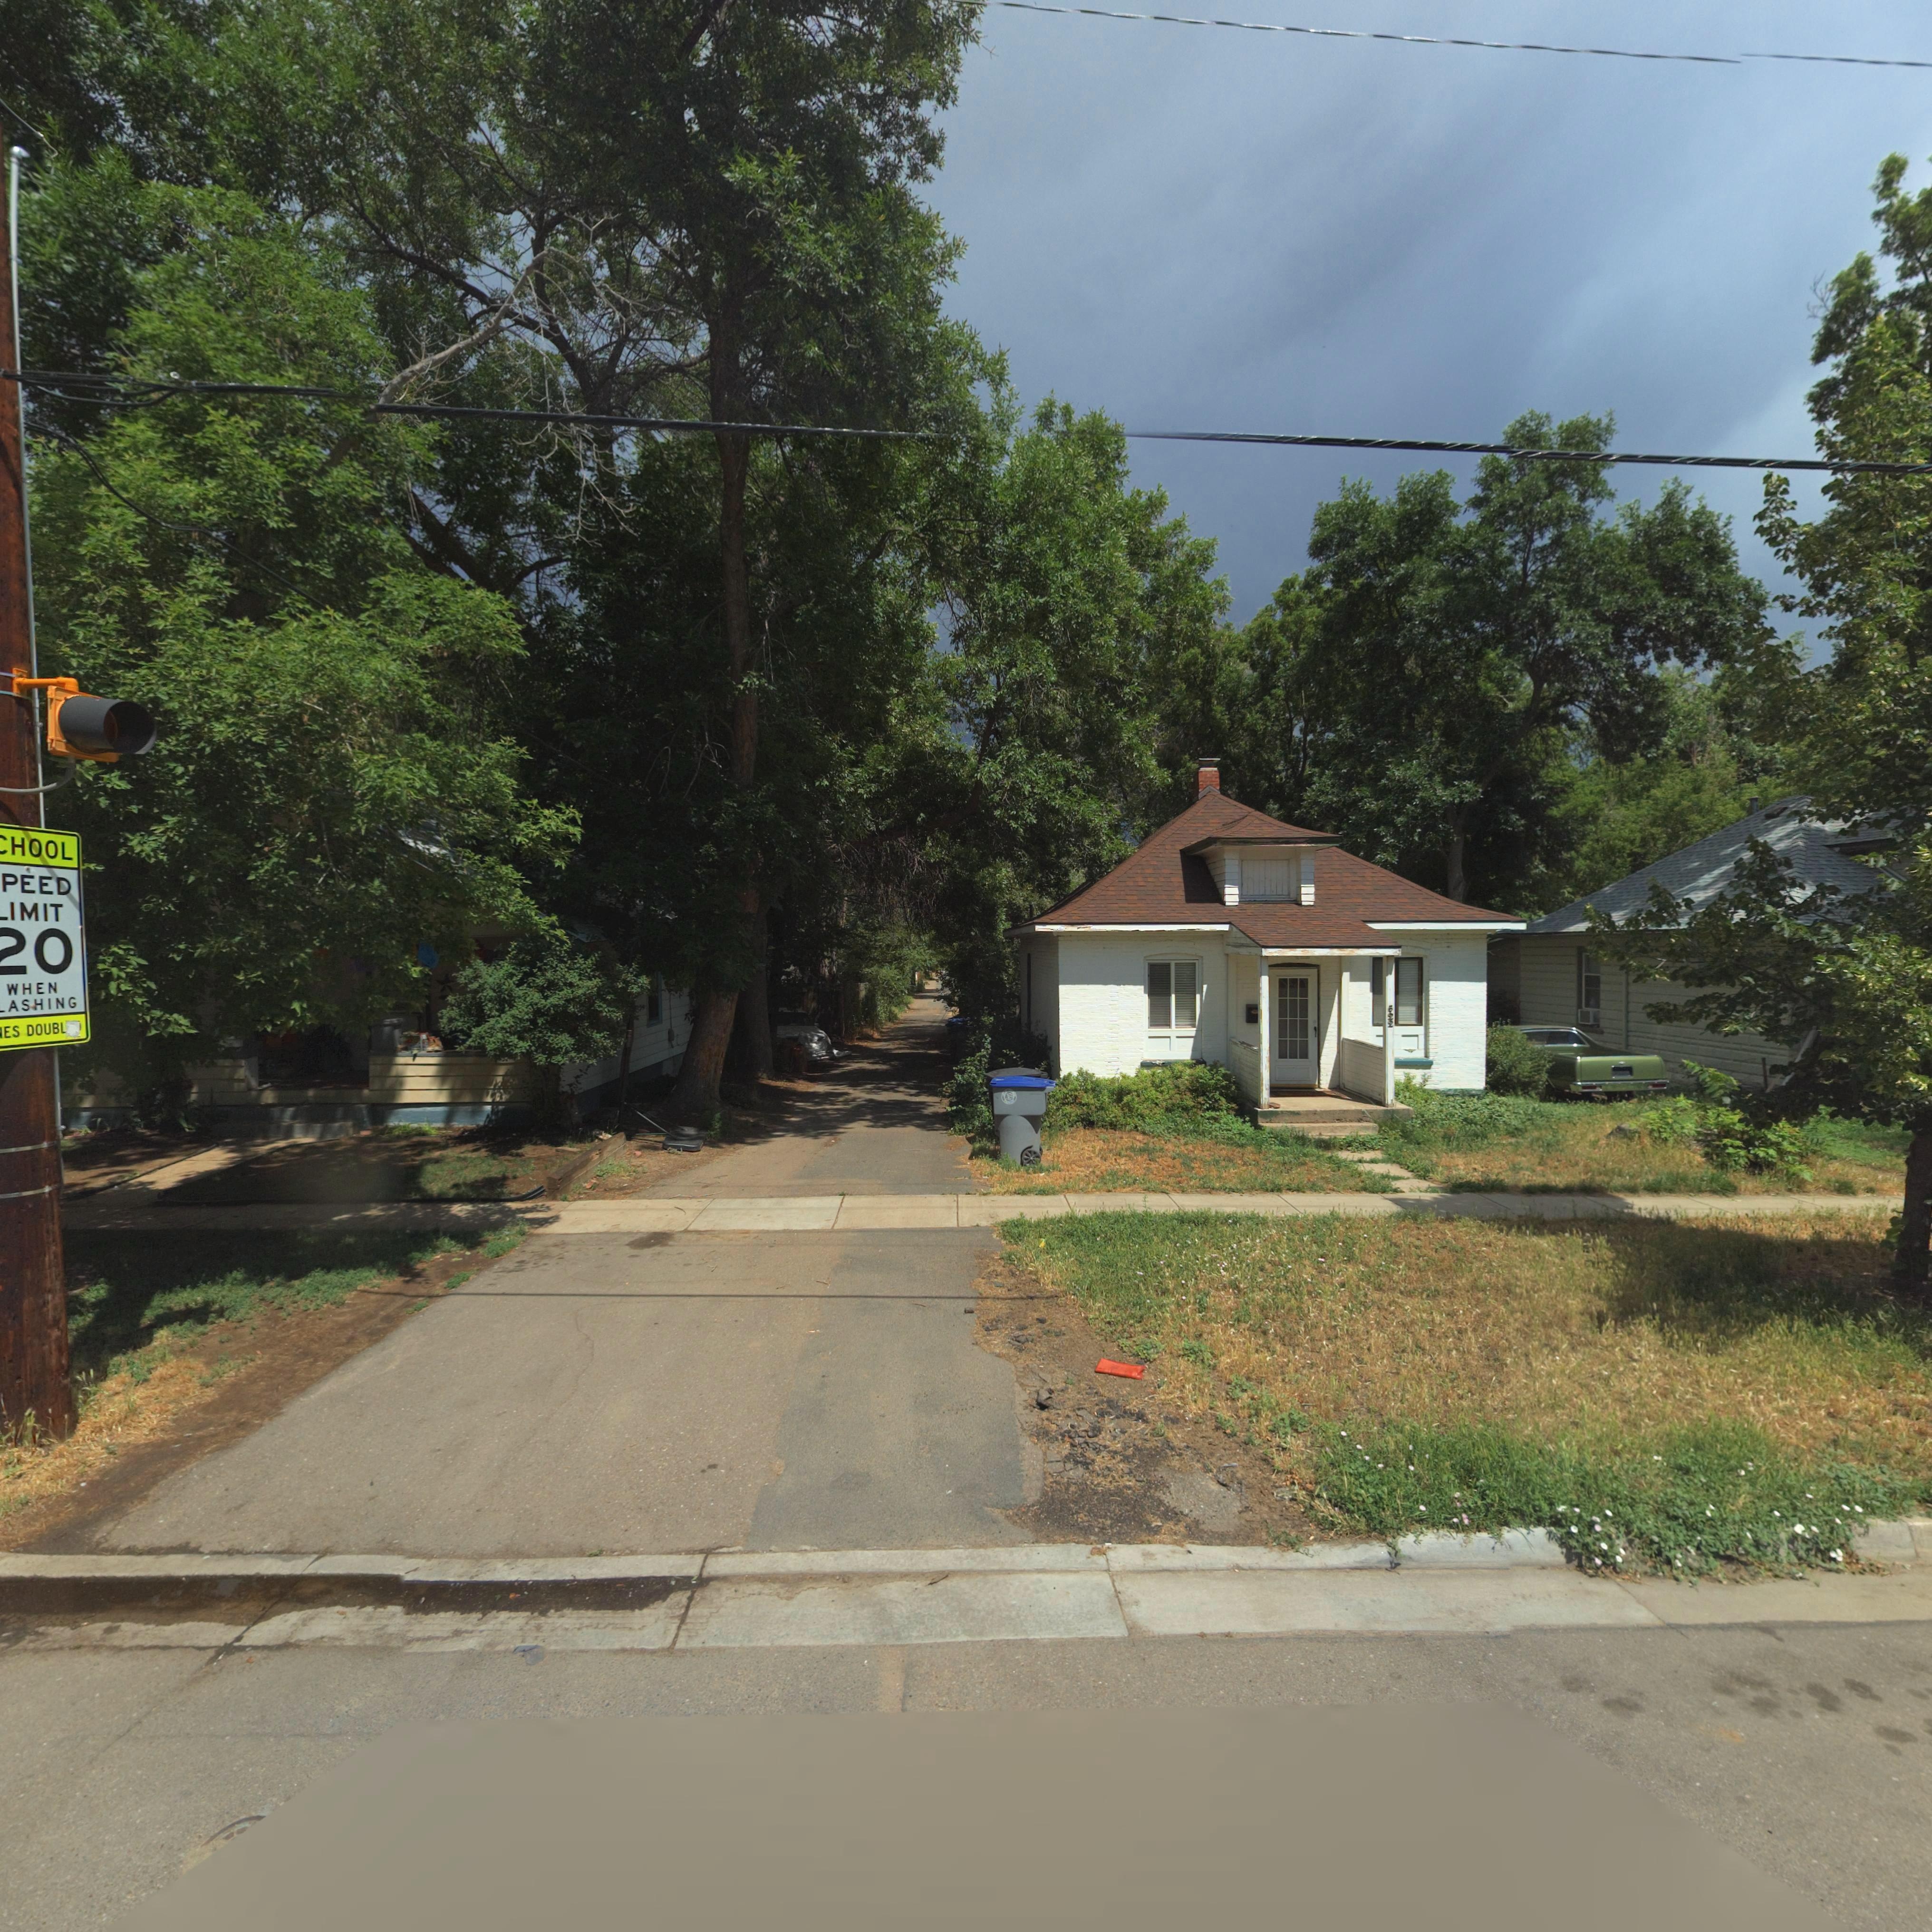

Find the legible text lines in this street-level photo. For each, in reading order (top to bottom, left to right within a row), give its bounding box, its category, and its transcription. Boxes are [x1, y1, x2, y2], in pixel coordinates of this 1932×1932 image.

[1387, 1004, 1394, 1027] StreetNumber: 522